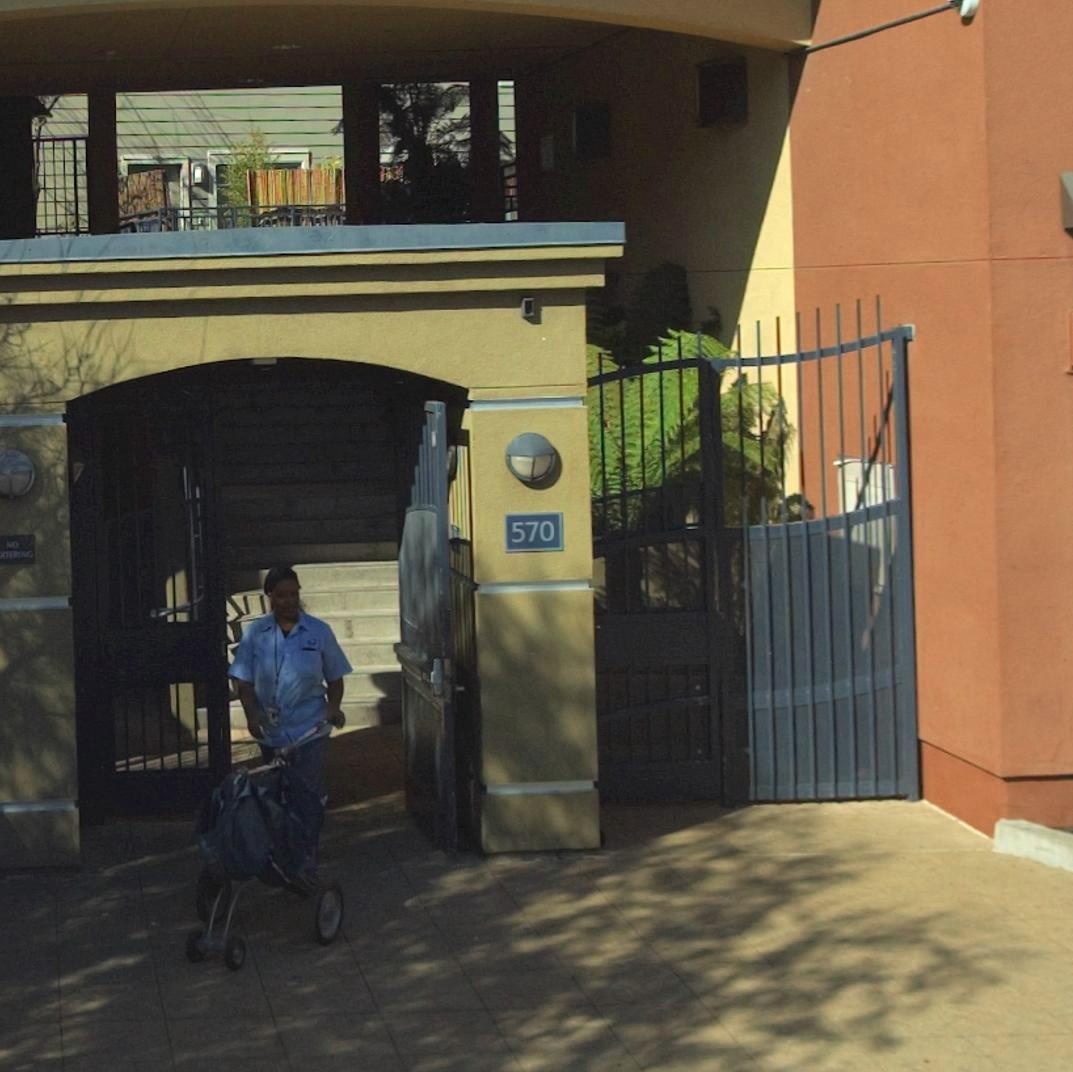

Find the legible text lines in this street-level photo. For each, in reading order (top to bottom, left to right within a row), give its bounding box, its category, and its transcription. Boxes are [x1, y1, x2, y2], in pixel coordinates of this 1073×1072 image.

[511, 520, 556, 544] StreetNumber: 570
[5, 540, 20, 550] None: NO
[0, 549, 33, 559] None: LOITERING